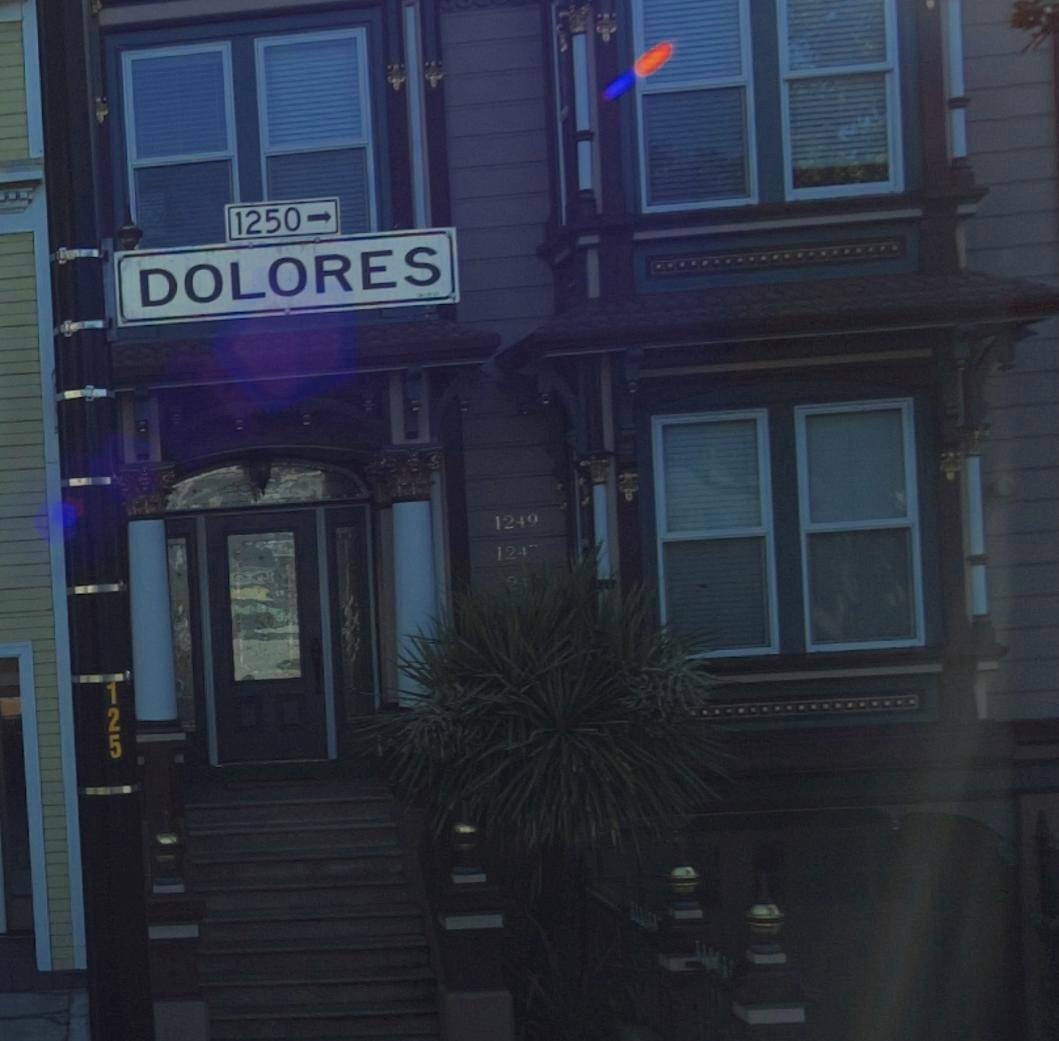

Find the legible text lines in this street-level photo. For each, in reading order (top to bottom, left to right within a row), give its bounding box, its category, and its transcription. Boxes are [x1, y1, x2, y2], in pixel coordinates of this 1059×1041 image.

[230, 201, 337, 238] StreetNumberRange: 1250->
[136, 244, 443, 309] StreetName: DOLORES
[493, 511, 540, 532] StreetNumber: 1249
[495, 540, 539, 563] StreetNumber: 124*
[505, 574, 517, 592] StreetNumber: 2
[104, 681, 123, 764] None: 125